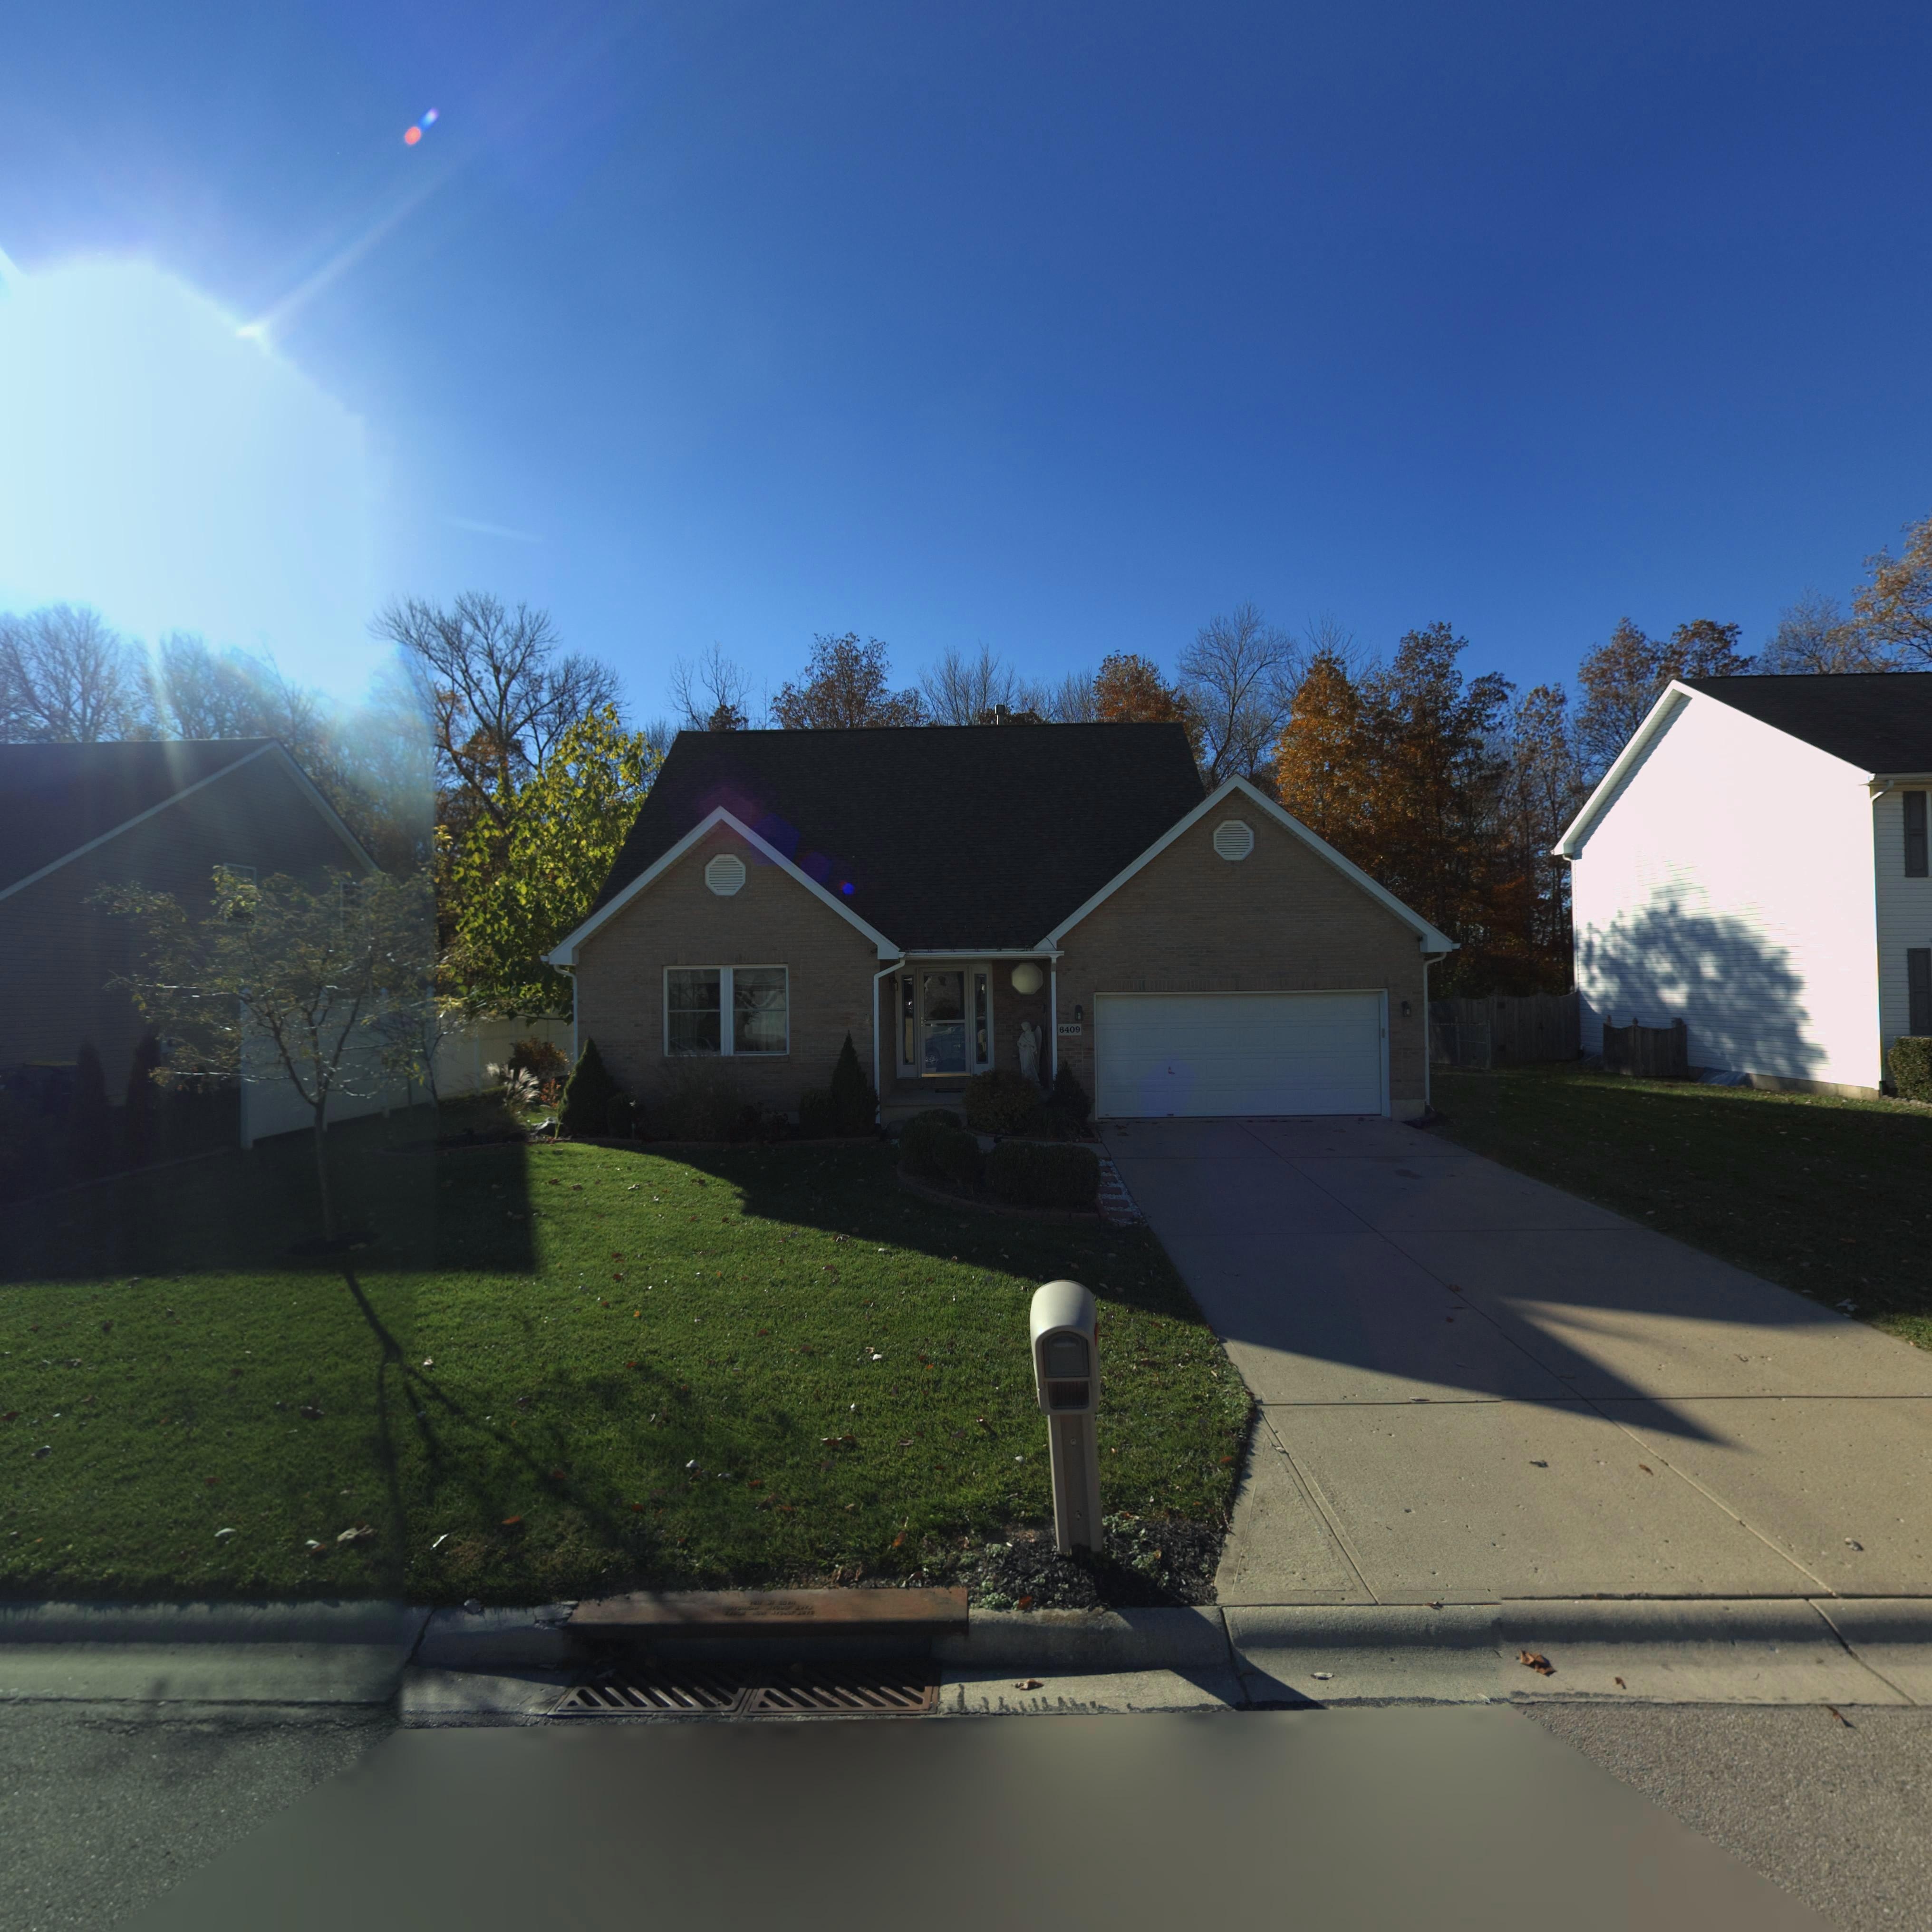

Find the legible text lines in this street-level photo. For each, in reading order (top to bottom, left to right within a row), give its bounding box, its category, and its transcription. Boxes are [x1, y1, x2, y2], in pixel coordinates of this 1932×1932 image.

[1058, 1025, 1082, 1034] StreetNumber: 6409